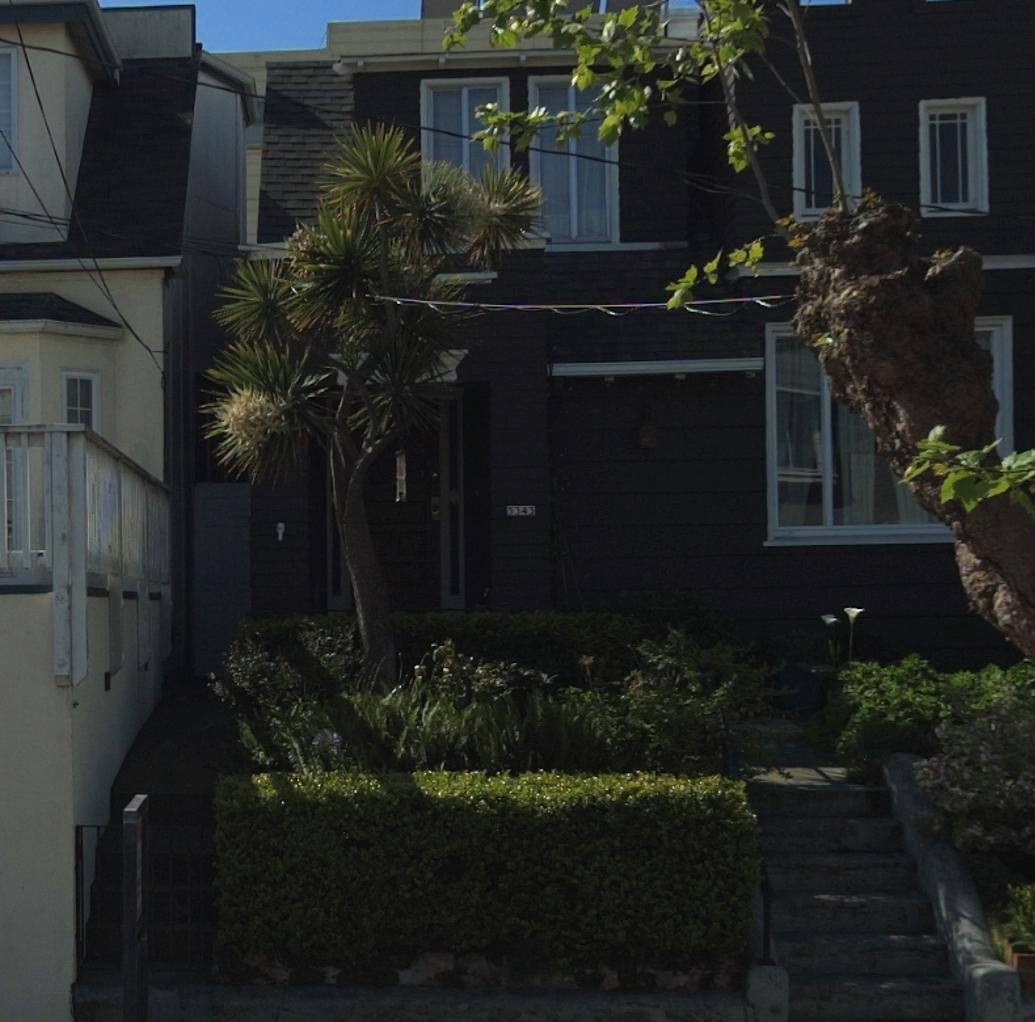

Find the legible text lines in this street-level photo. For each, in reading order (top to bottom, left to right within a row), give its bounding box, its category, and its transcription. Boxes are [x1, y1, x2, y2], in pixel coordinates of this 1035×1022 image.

[505, 505, 535, 516] StreetNumber: 5343